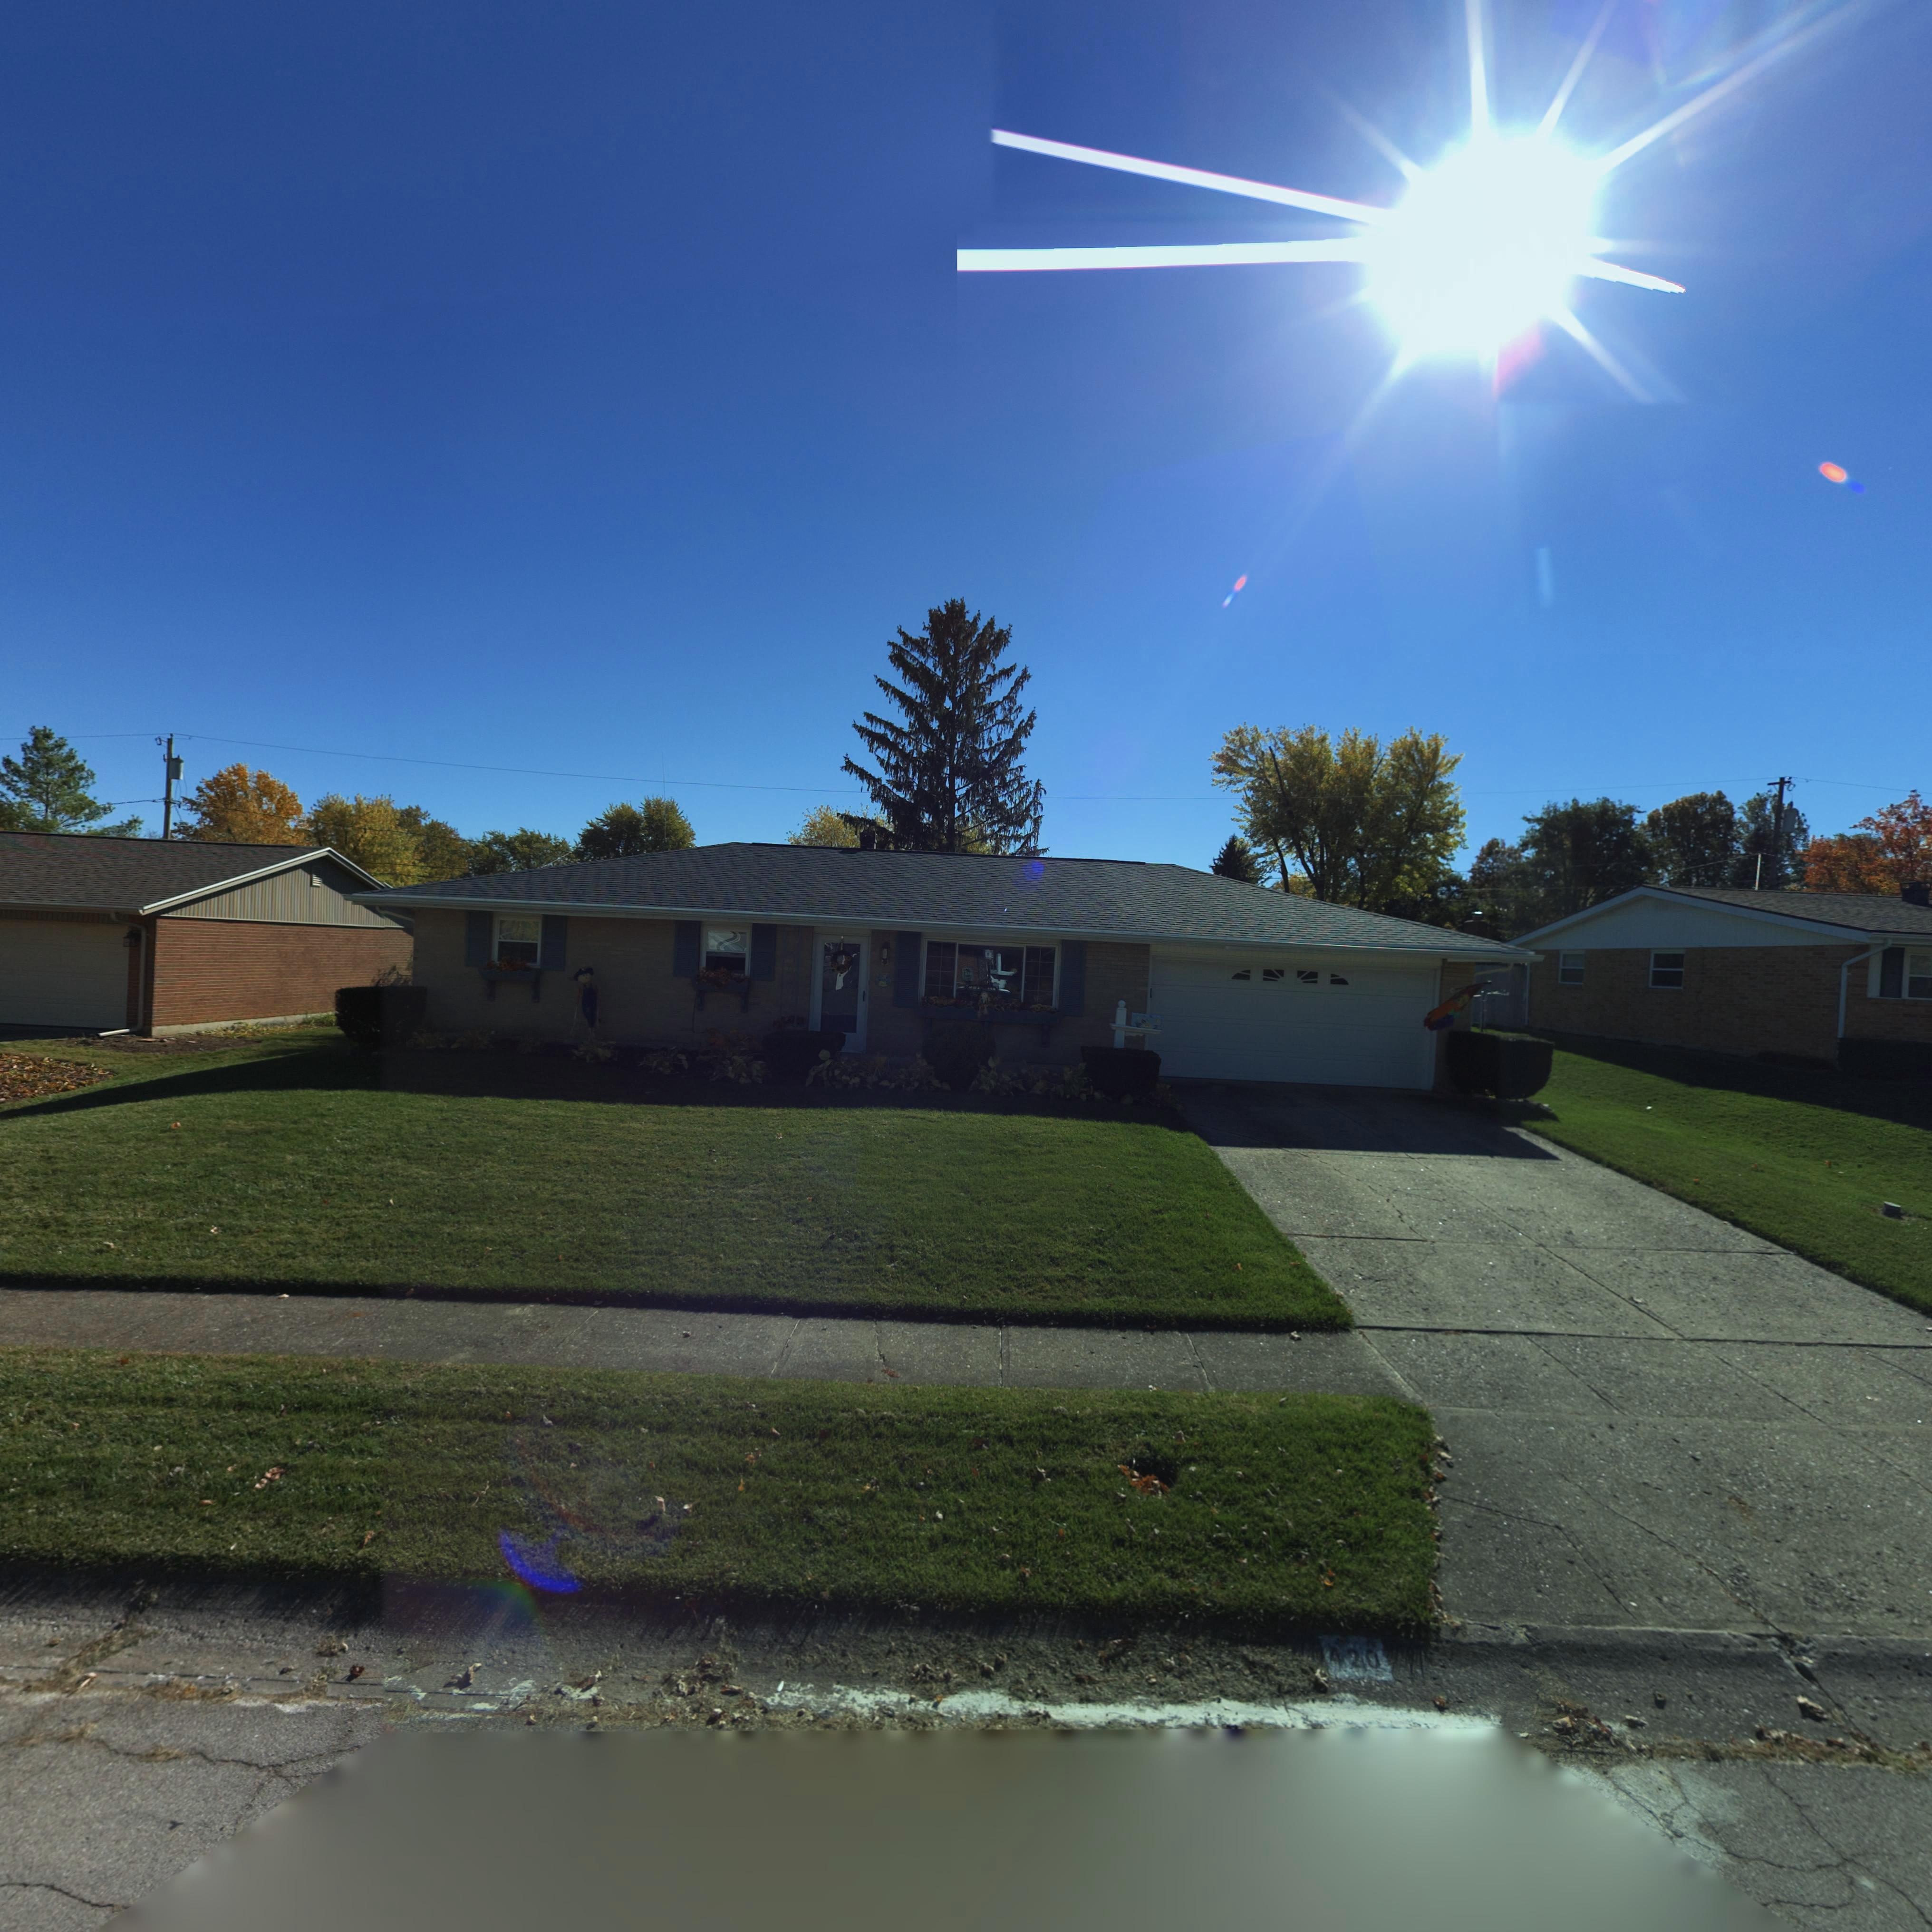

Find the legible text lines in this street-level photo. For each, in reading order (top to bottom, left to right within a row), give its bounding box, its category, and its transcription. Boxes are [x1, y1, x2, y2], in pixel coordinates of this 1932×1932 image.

[1326, 1645, 1383, 1671] StreetNumber: 420